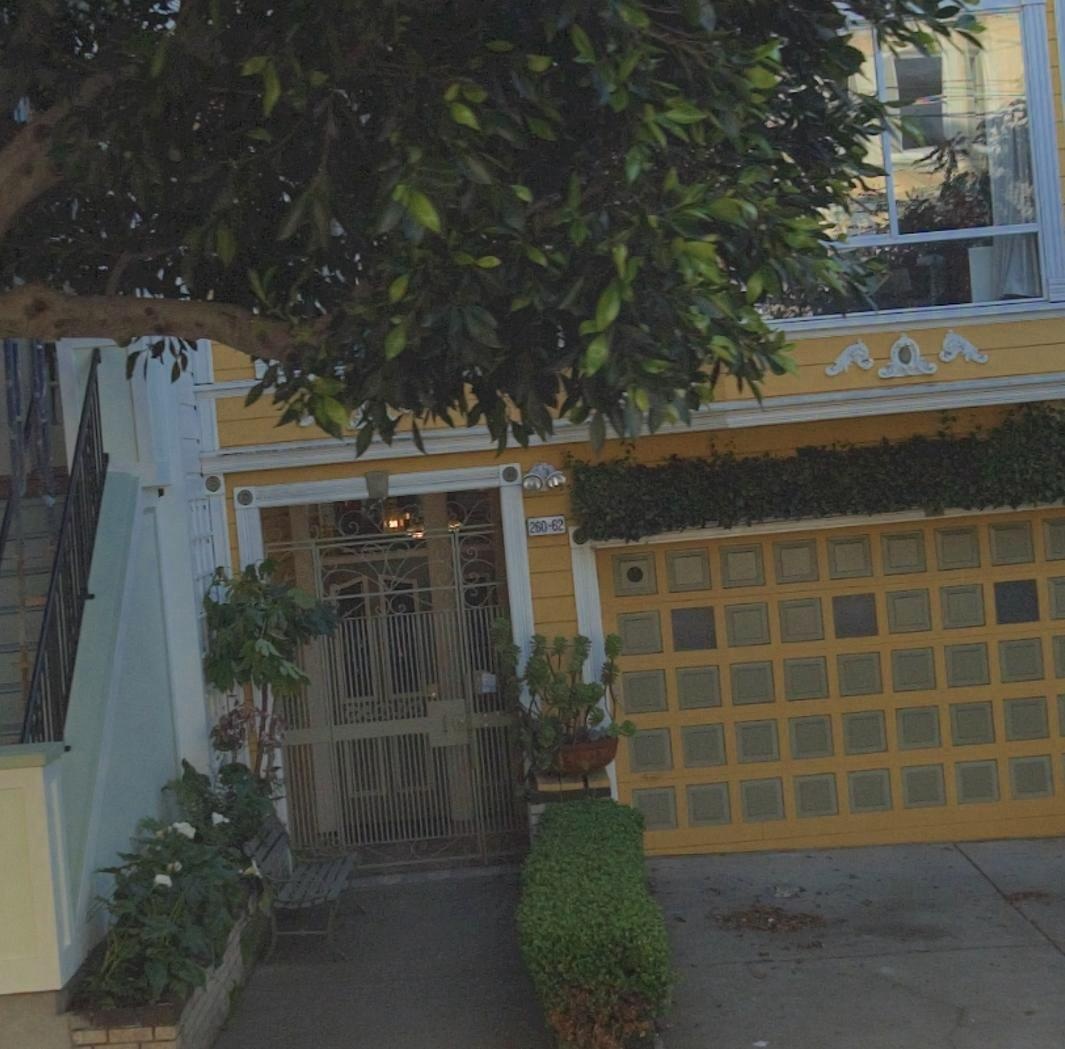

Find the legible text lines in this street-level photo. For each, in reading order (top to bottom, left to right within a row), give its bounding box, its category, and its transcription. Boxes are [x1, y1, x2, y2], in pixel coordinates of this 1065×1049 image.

[528, 518, 565, 535] StreetNumber: 260-62